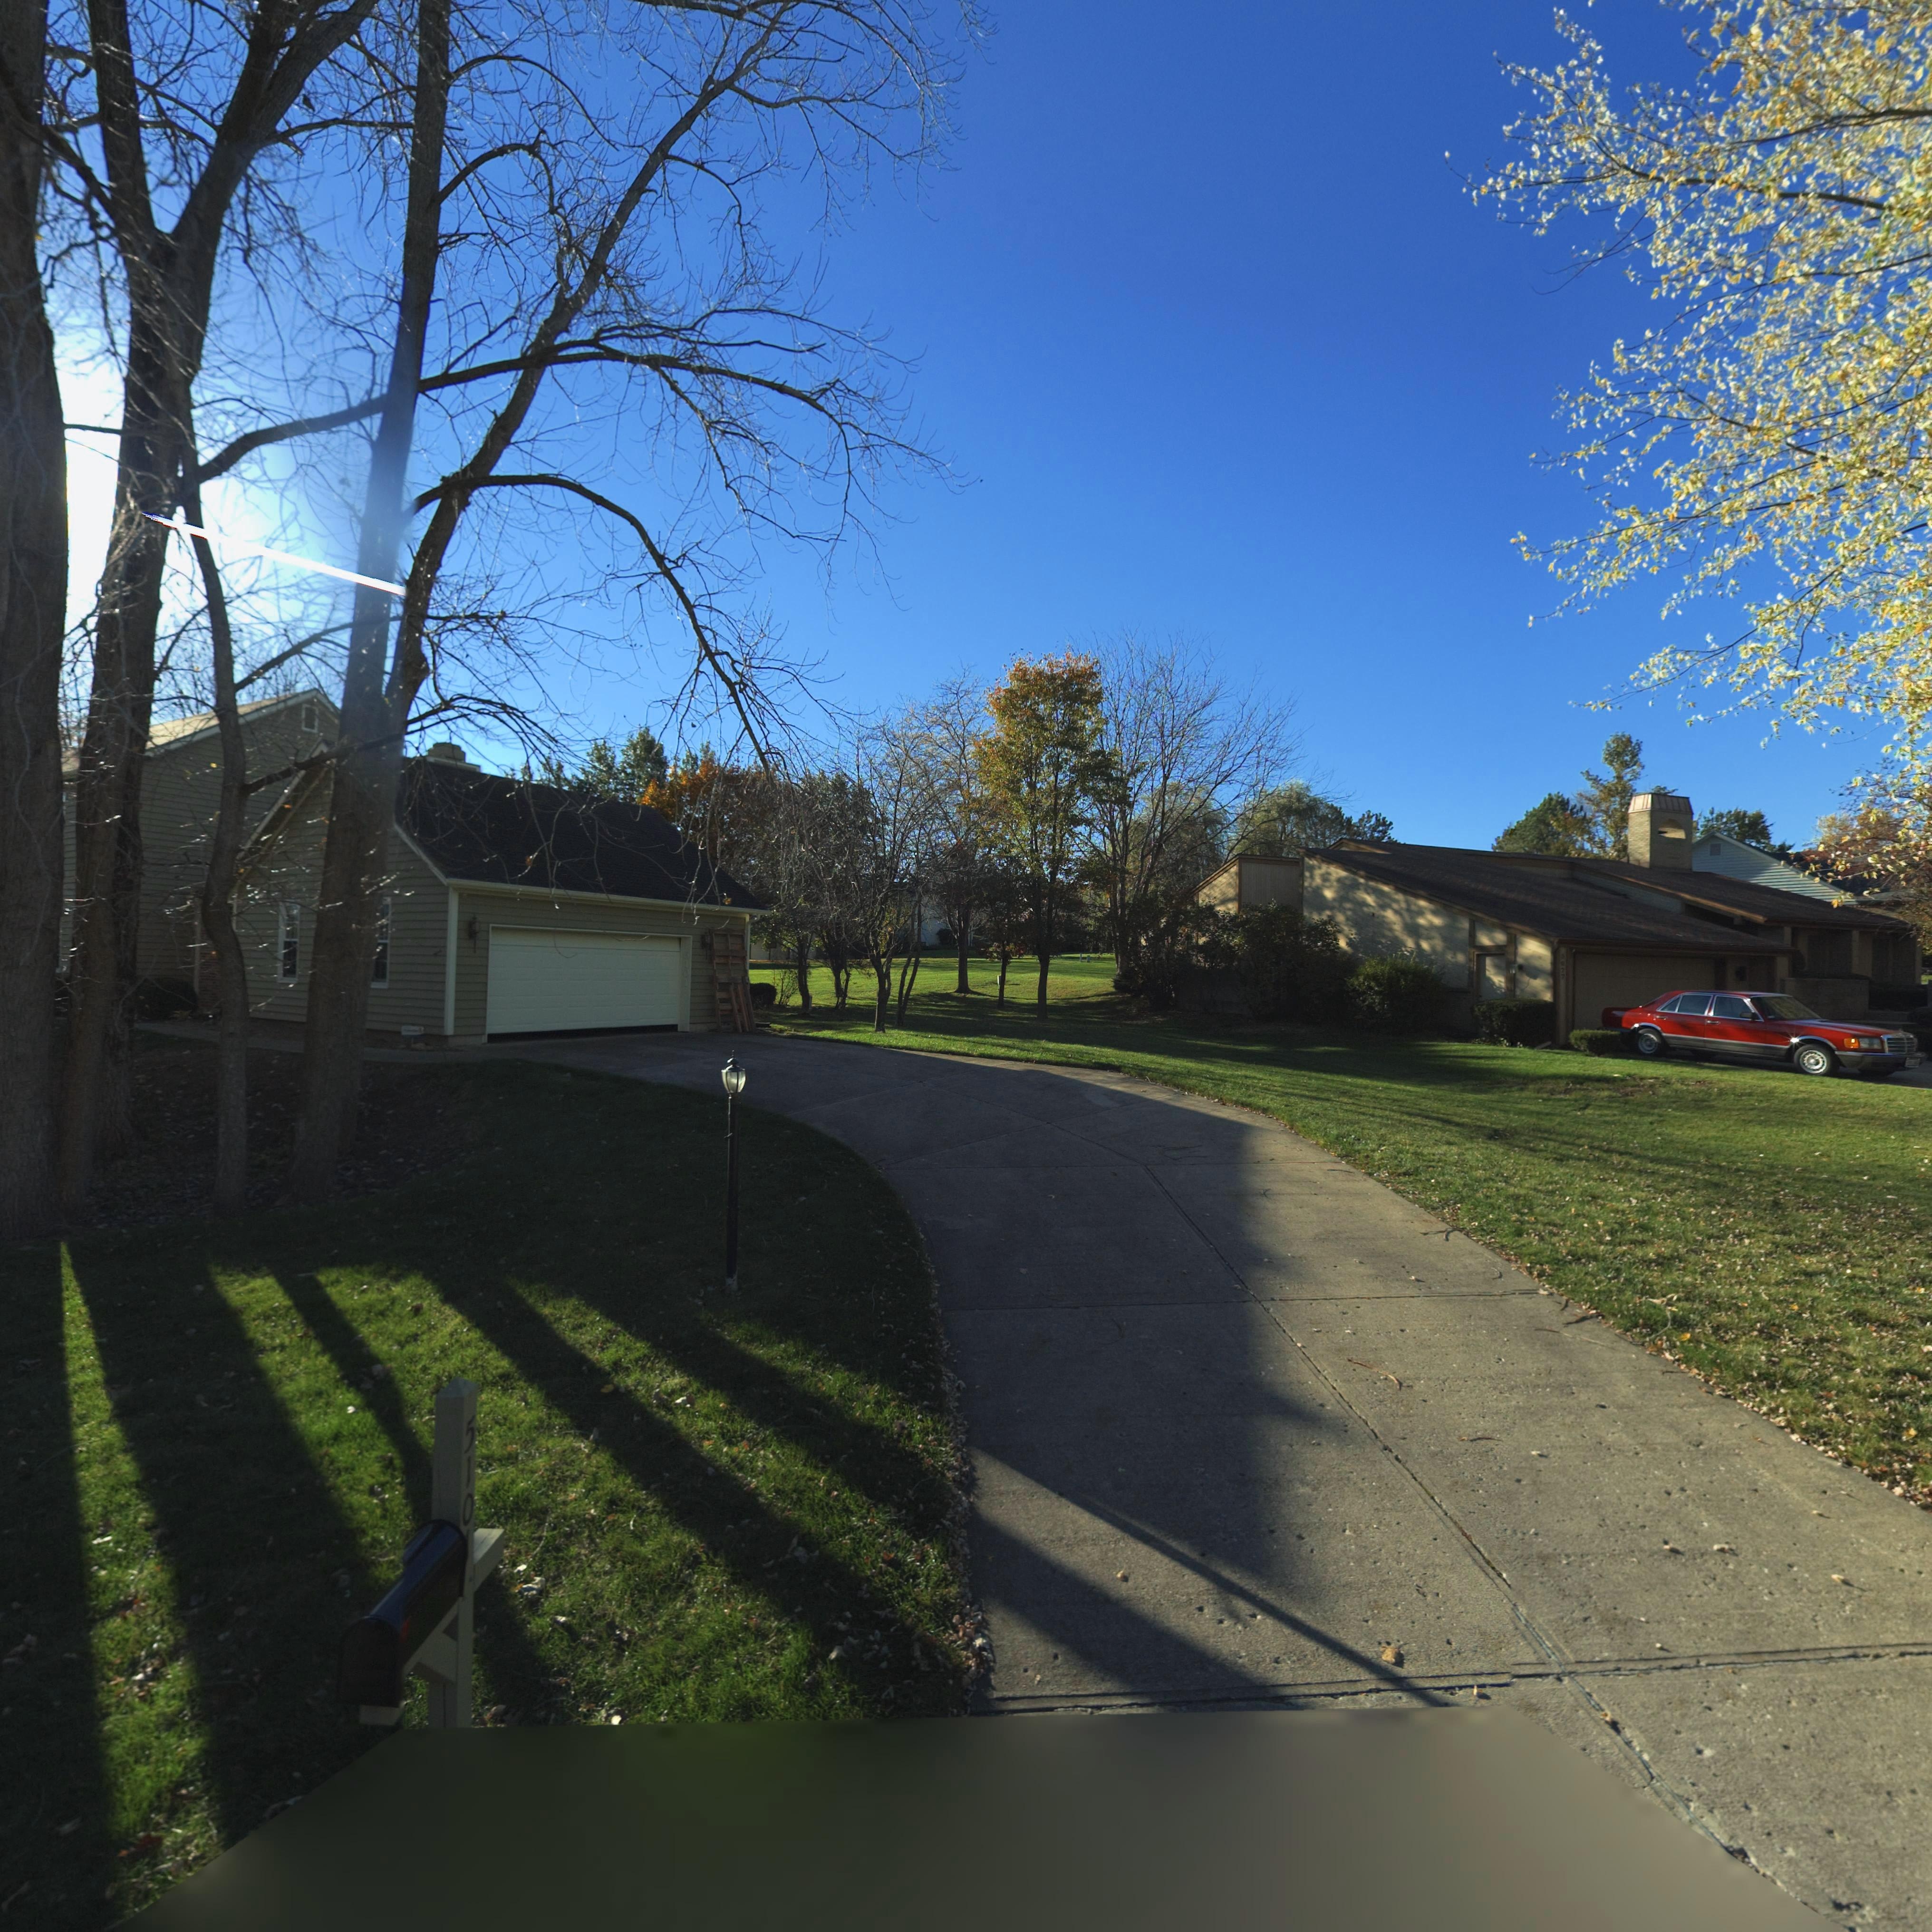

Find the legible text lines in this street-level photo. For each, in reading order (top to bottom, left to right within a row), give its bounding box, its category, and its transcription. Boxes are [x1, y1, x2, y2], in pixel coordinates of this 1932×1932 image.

[461, 1410, 477, 1528] StreetNumber: 510